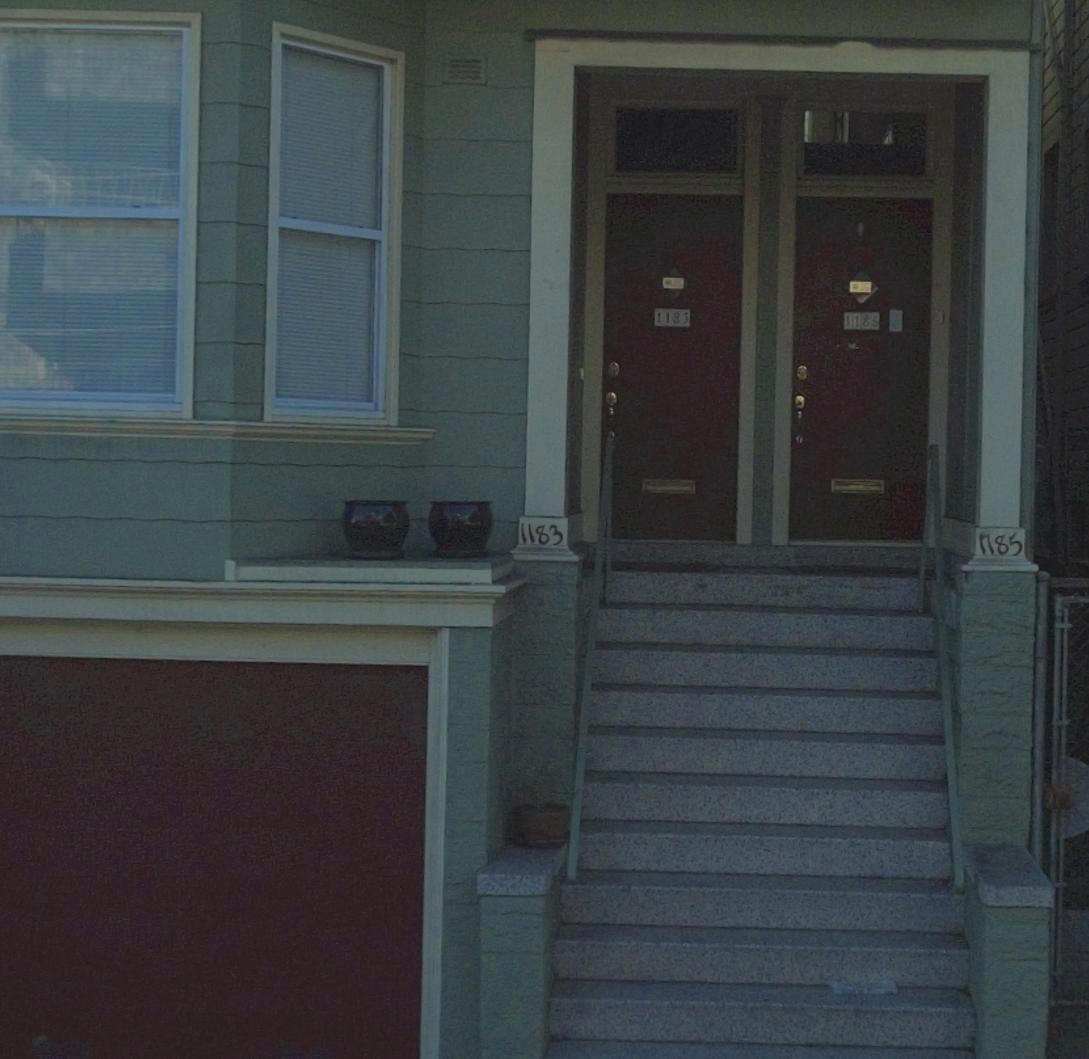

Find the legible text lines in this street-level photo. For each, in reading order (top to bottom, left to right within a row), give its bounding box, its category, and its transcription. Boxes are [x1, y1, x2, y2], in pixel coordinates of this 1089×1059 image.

[655, 309, 690, 325] StreetNumber: 1183
[844, 314, 878, 328] StreetNumber: 1185
[519, 521, 565, 547] StreetNumber: 1183
[975, 530, 1025, 558] StreetNumber: 1185